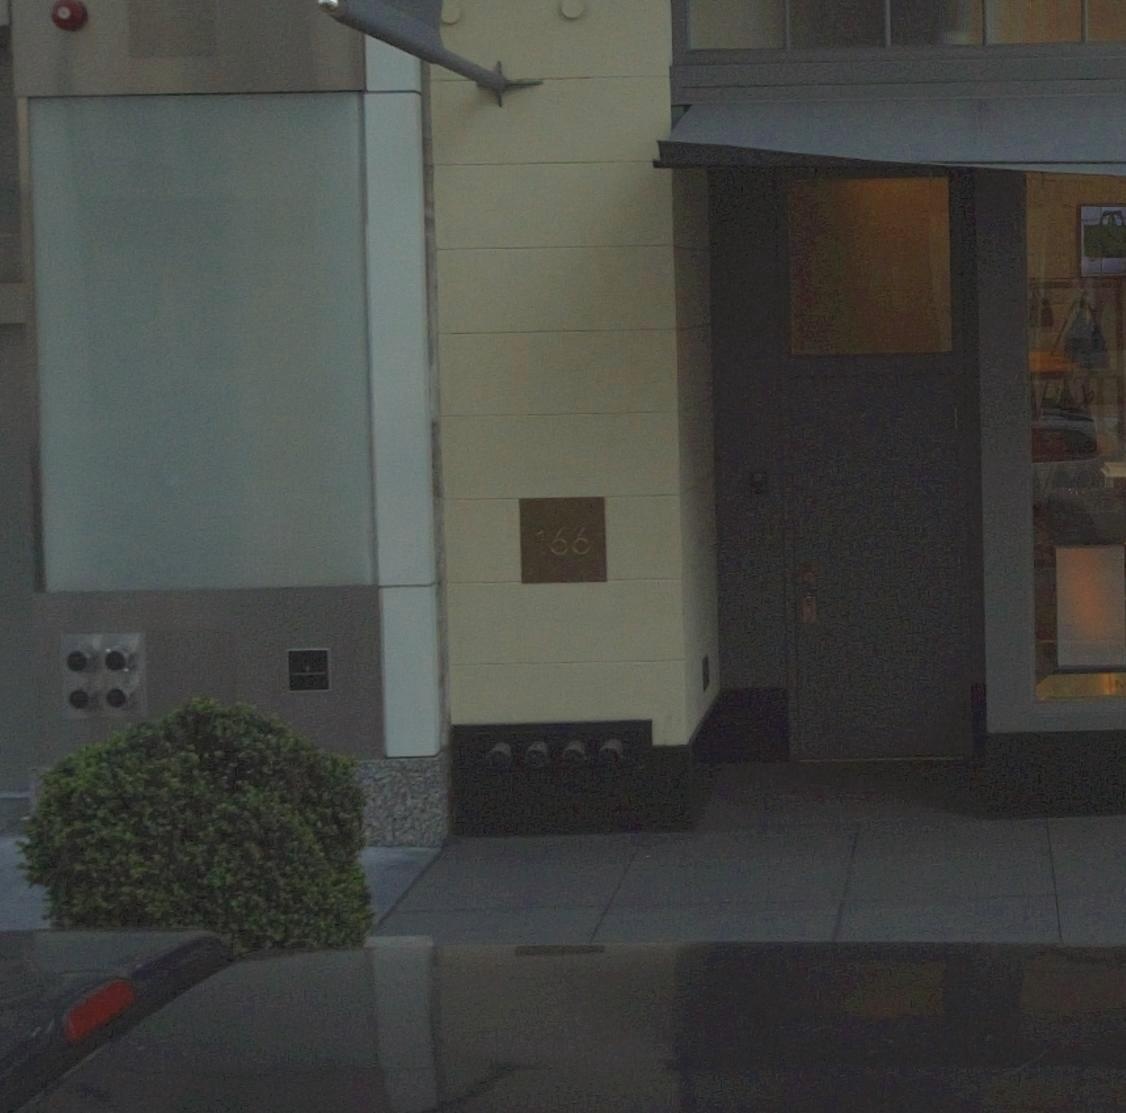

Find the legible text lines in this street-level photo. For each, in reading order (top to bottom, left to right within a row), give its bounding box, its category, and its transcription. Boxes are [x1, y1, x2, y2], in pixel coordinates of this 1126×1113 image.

[531, 524, 592, 559] StreetNumber: 166